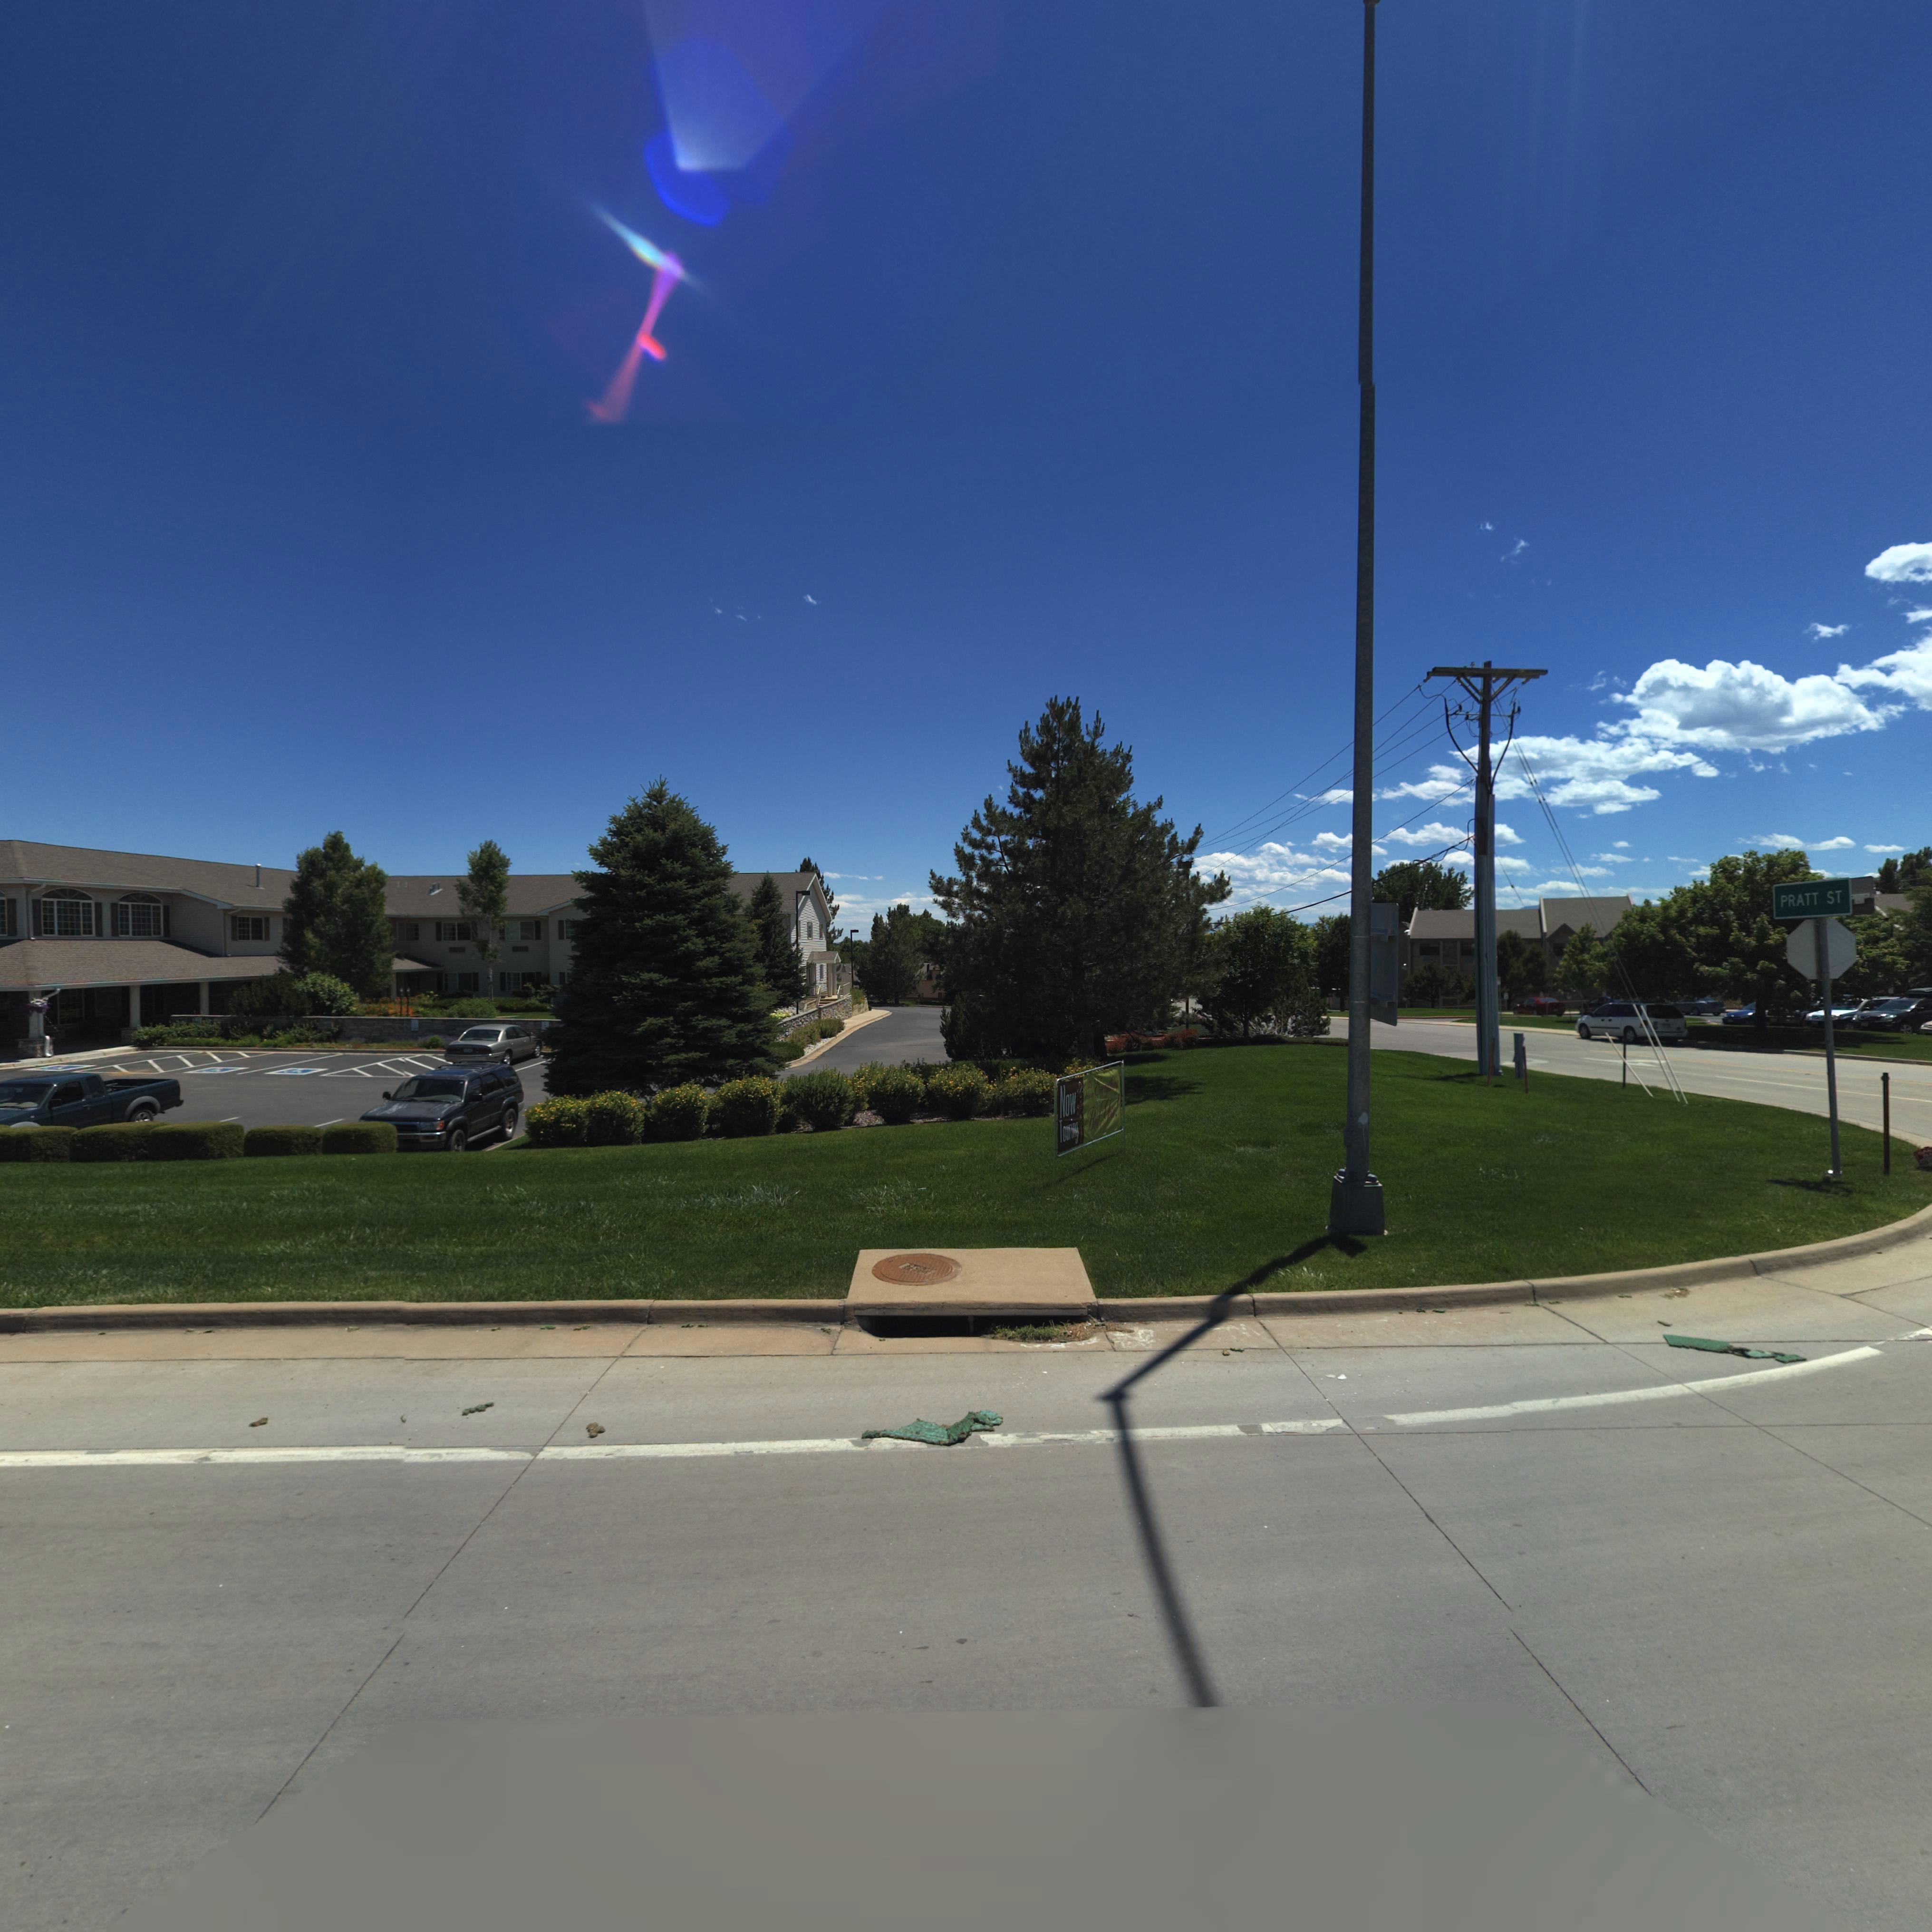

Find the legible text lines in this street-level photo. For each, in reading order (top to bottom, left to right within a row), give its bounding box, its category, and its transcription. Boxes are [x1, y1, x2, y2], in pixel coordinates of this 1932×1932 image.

[1779, 889, 1843, 908] StreetName: PRATT ST